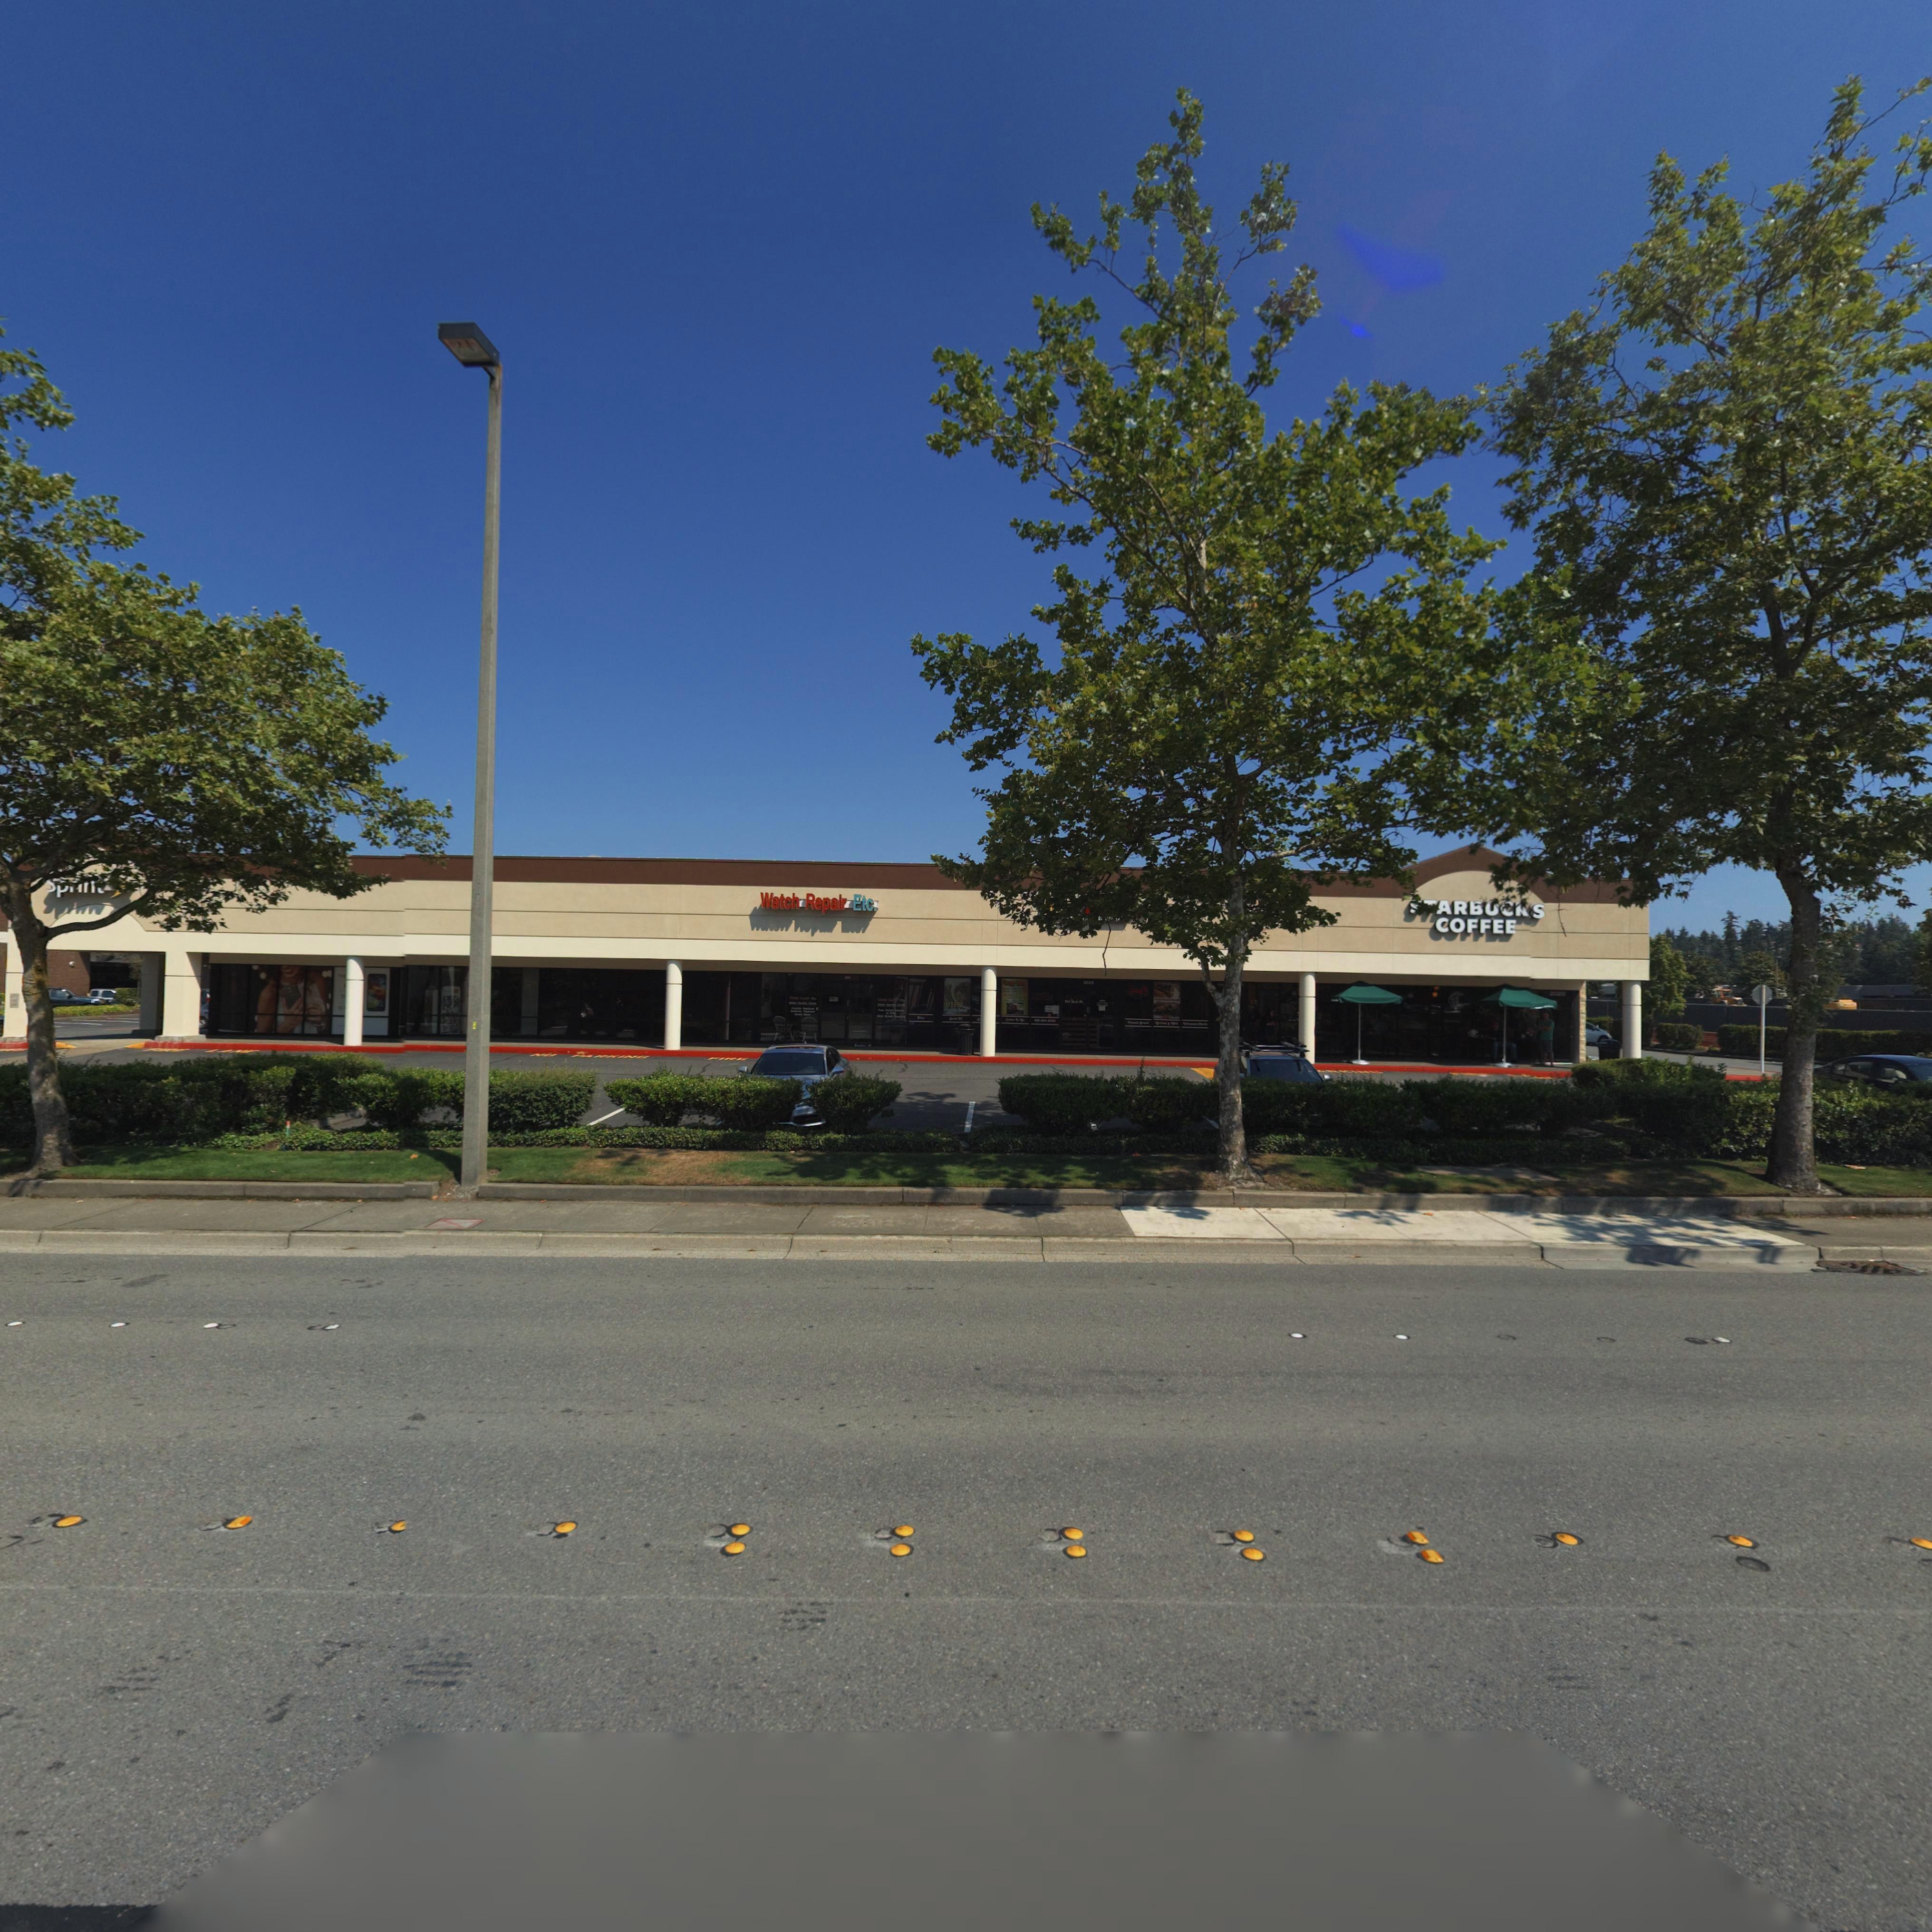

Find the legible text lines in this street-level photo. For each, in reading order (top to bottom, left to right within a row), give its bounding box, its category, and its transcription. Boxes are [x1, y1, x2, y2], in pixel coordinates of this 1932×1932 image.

[759, 891, 874, 916] BusinessName: Watch Repair Etc
[1452, 900, 1468, 916] BusinessName: R
[1531, 902, 1546, 920] BusinessName: S
[1433, 916, 1517, 935] BusinessName: COFFEE
[1549, 991, 1566, 996] StreetNumber: 2020